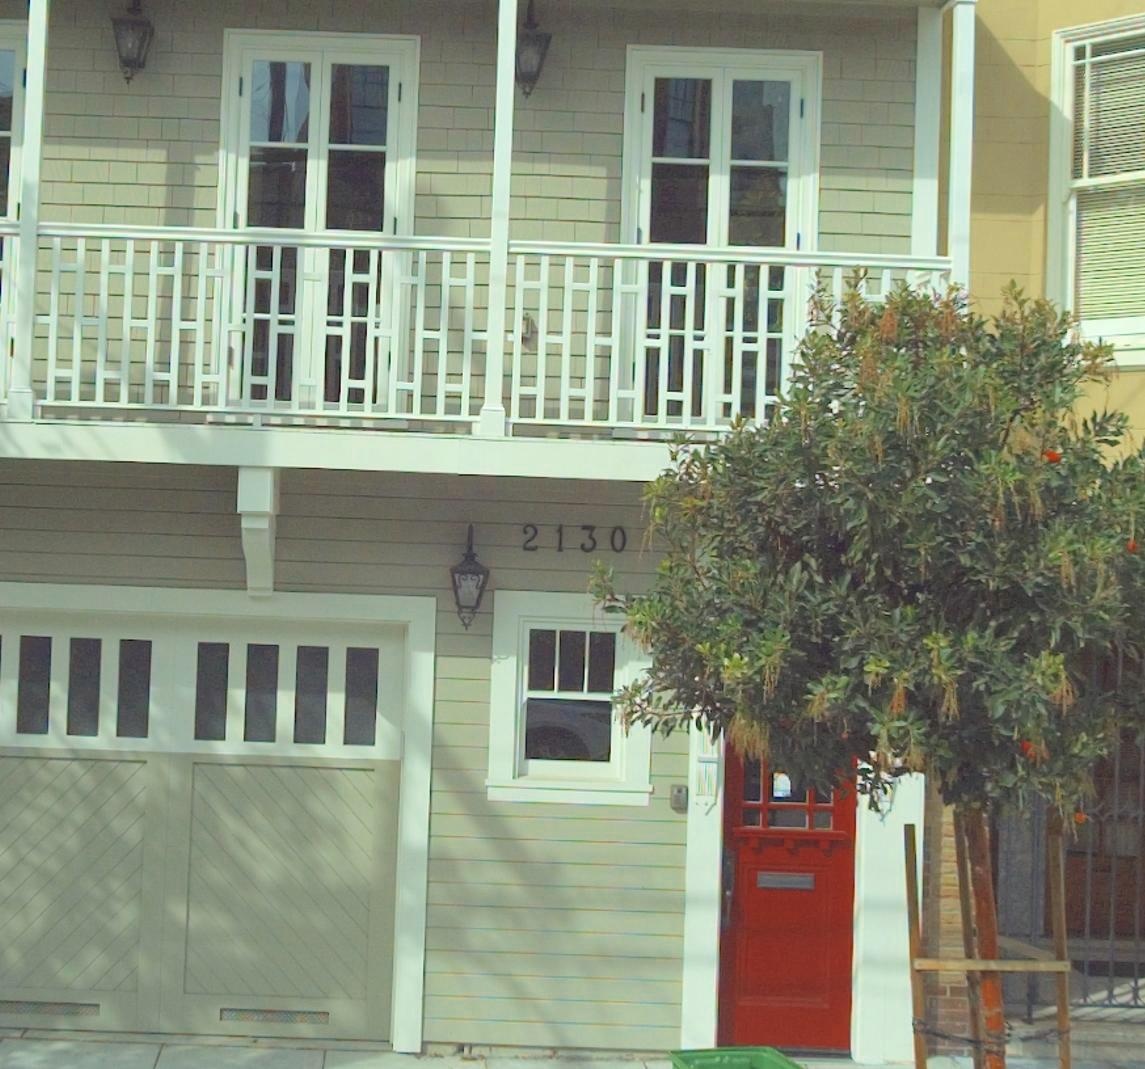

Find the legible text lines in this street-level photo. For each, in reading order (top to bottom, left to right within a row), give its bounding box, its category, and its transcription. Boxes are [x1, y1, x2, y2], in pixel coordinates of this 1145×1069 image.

[520, 522, 628, 555] StreetNumber: 2130